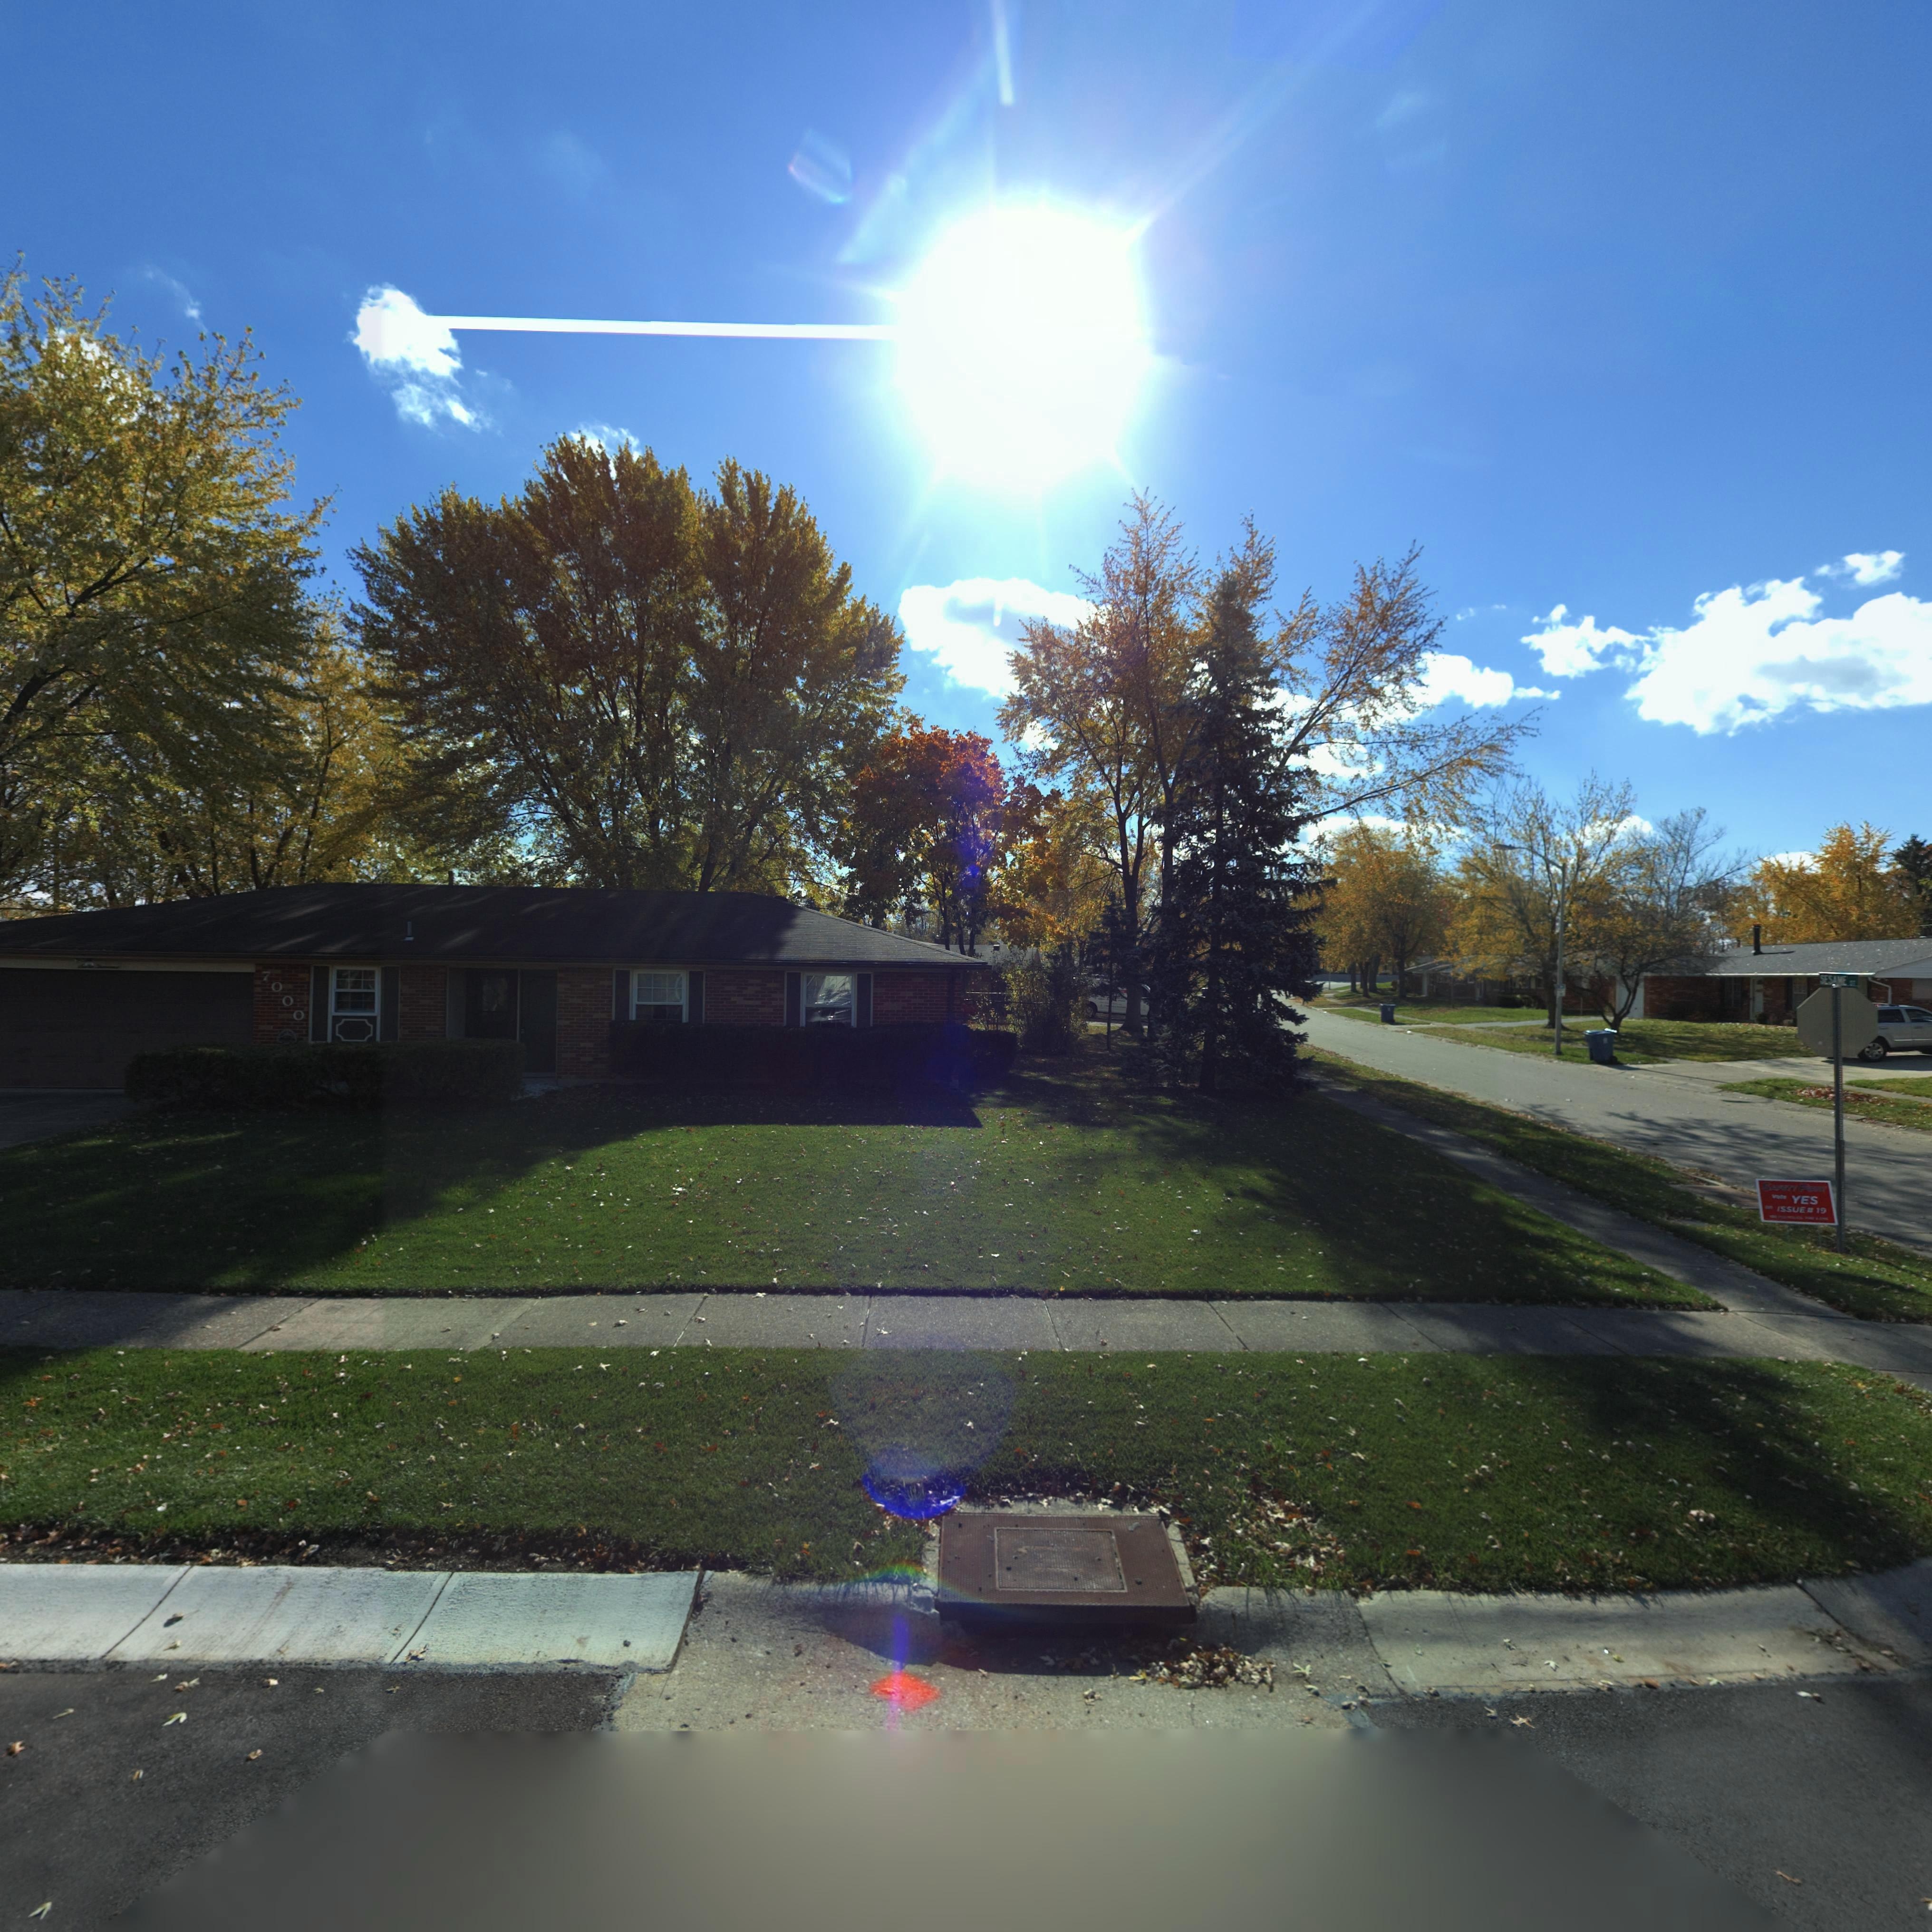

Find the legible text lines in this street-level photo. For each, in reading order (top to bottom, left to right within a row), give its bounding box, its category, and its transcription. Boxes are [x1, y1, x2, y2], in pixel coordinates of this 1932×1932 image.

[261, 970, 306, 1023] StreetNumber: 7000